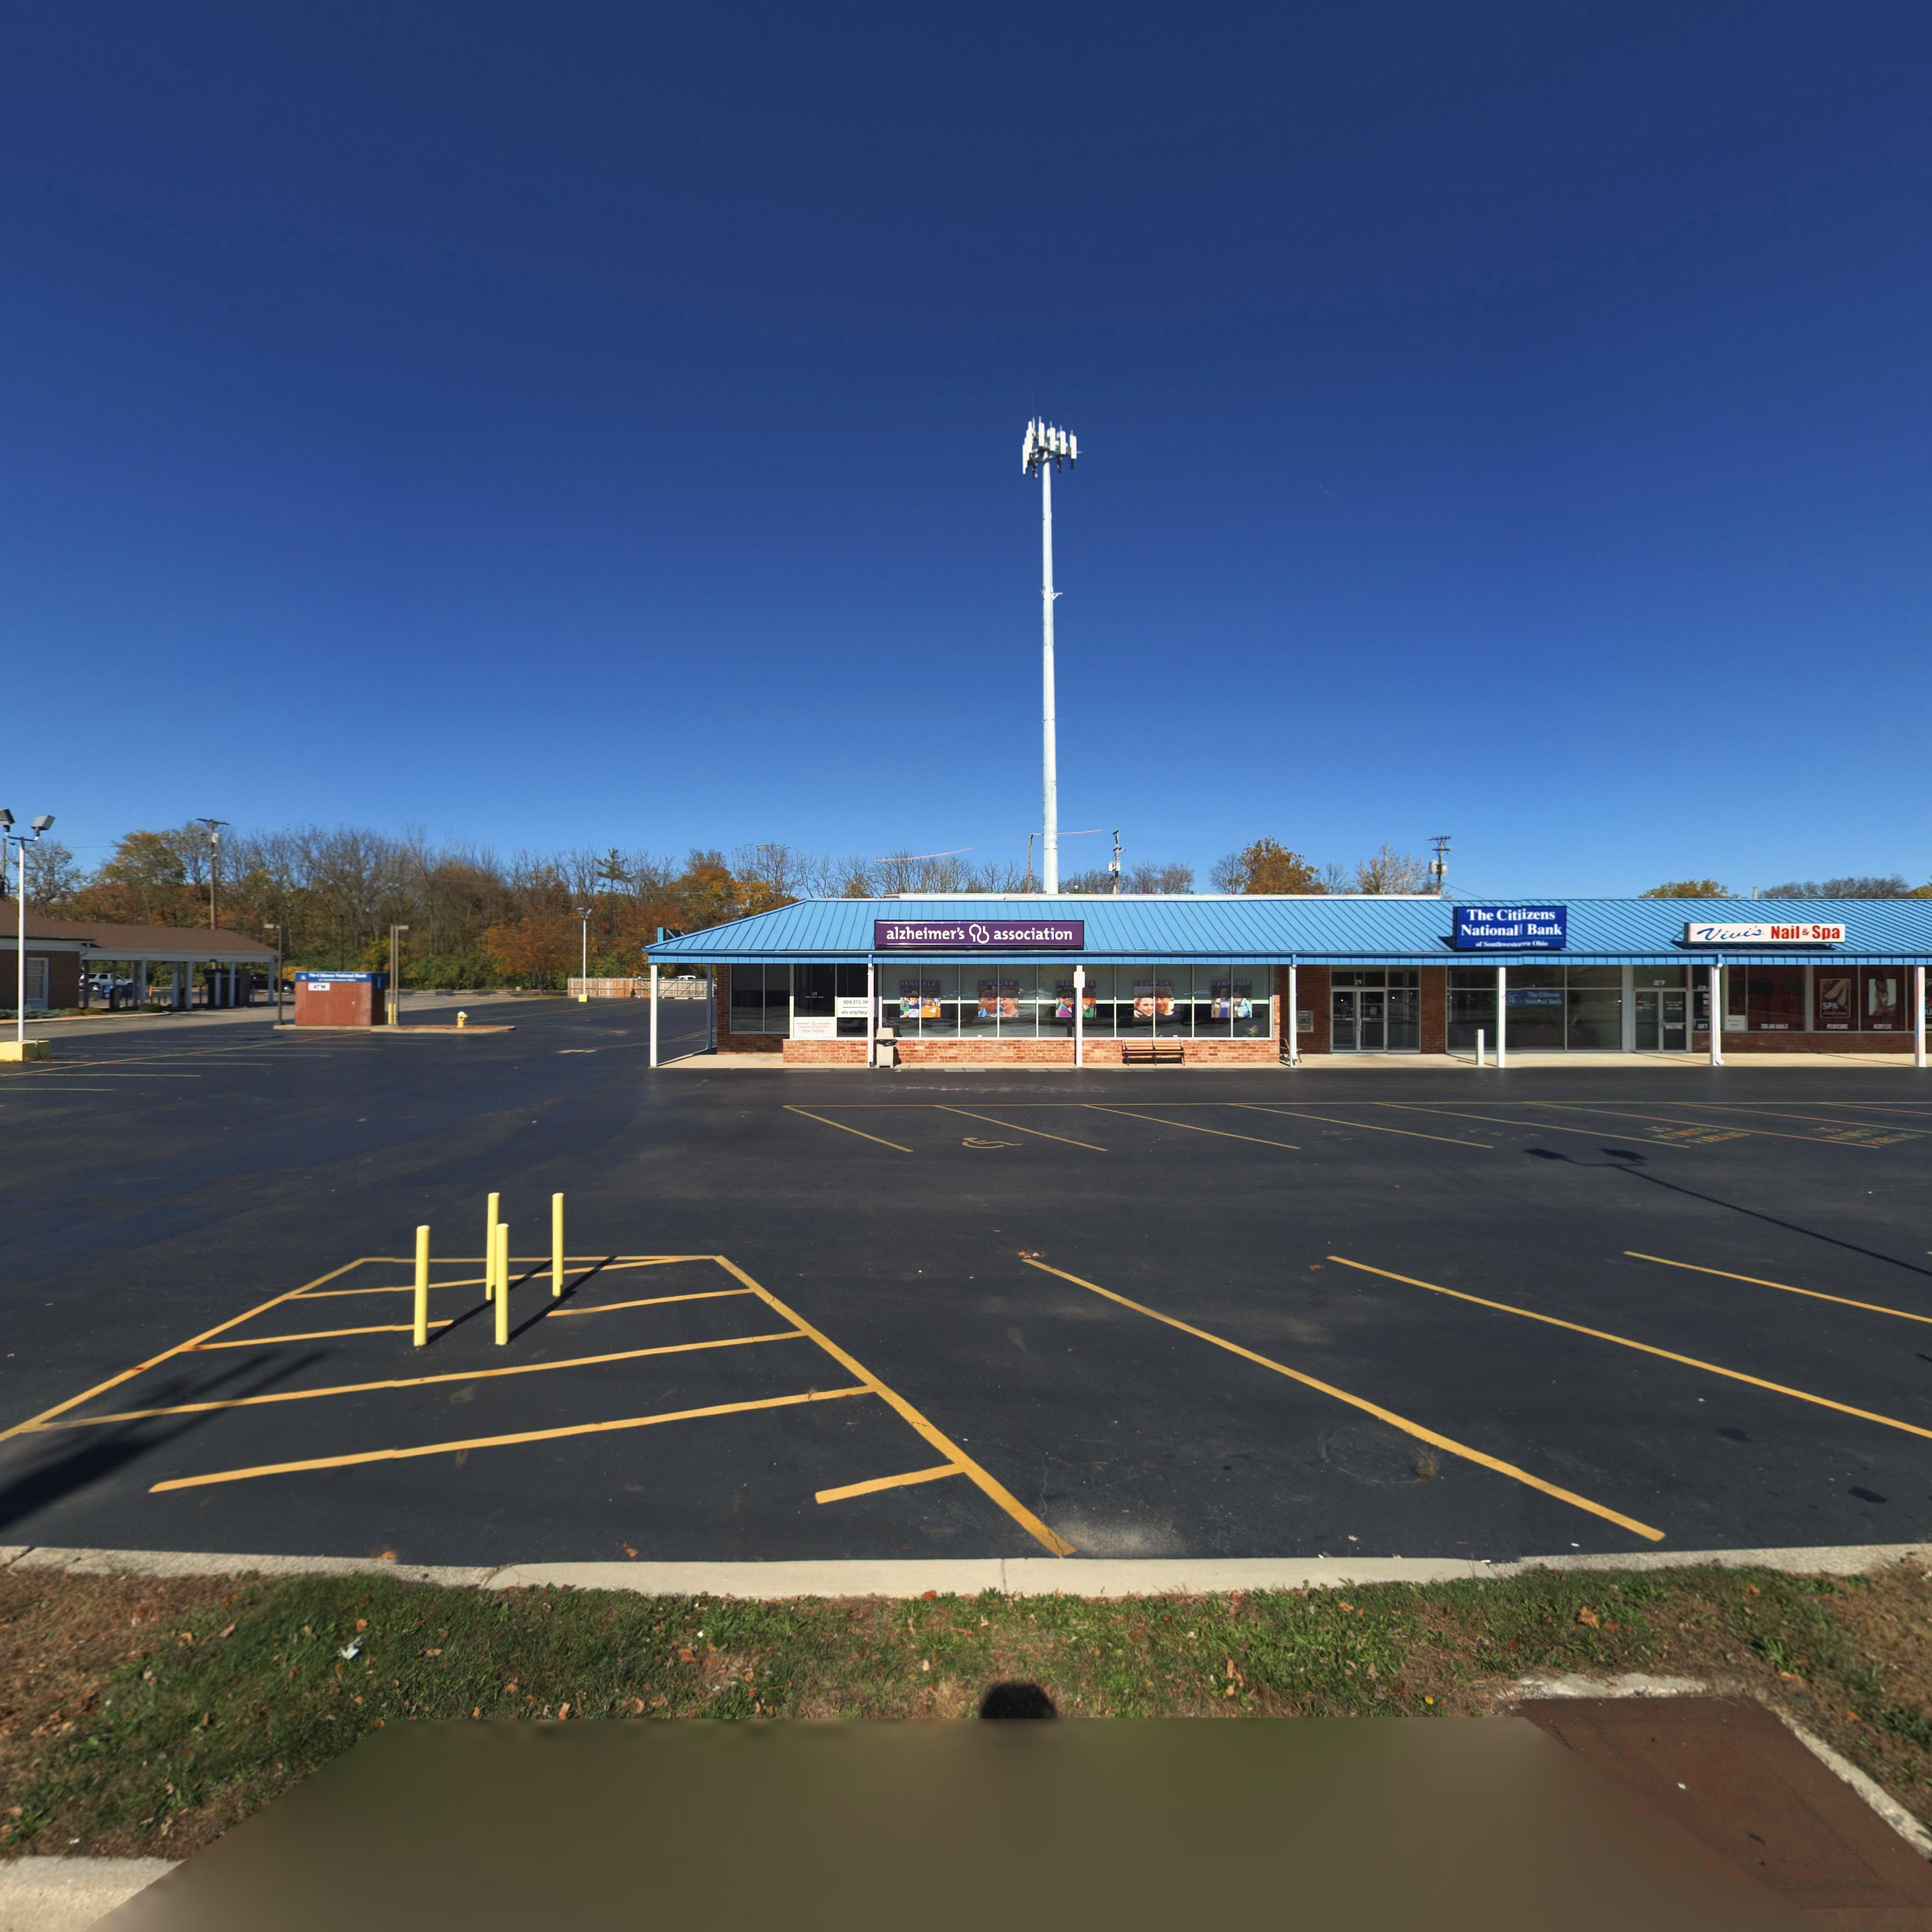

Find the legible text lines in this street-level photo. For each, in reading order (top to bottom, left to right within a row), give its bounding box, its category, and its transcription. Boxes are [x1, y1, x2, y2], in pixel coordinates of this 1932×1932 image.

[1465, 908, 1556, 922] BusinessName: The Citiizens
[885, 926, 1073, 941] BusinessName: alzheimer's * association
[1460, 923, 1563, 937] BusinessName: National* Bank
[1695, 925, 1841, 941] BusinessName: Vivi's Nail & Spa
[1475, 939, 1549, 948] BusinessName: of Southwester*rn Ohio
[313, 984, 327, 989] None: ATM
[904, 981, 936, 986] None: END*ALZ
[985, 980, 1014, 986] None: INFORM
[1060, 981, 1095, 986] None: ED***TE
[1139, 980, 1174, 986] None: SUPPORT
[1216, 980, 1251, 986] None: EMPOWER
[1353, 978, 1363, 986] StreetNumber: 29
[1652, 979, 1667, 986] StreetNumber: 27
[811, 991, 819, 997] StreetNumber: 31
[1526, 991, 1544, 998] BusinessName: The C
[843, 1000, 869, 1005] None: *00 272 39
[1524, 998, 1531, 1005] BusinessName: N
[1822, 1002, 1840, 1010] None: SPA
[840, 1009, 868, 1015] None: alz.org/day
[1697, 1023, 1709, 1030] None: G*FT
[1760, 1023, 1789, 1030] None: SOLAR NAILS